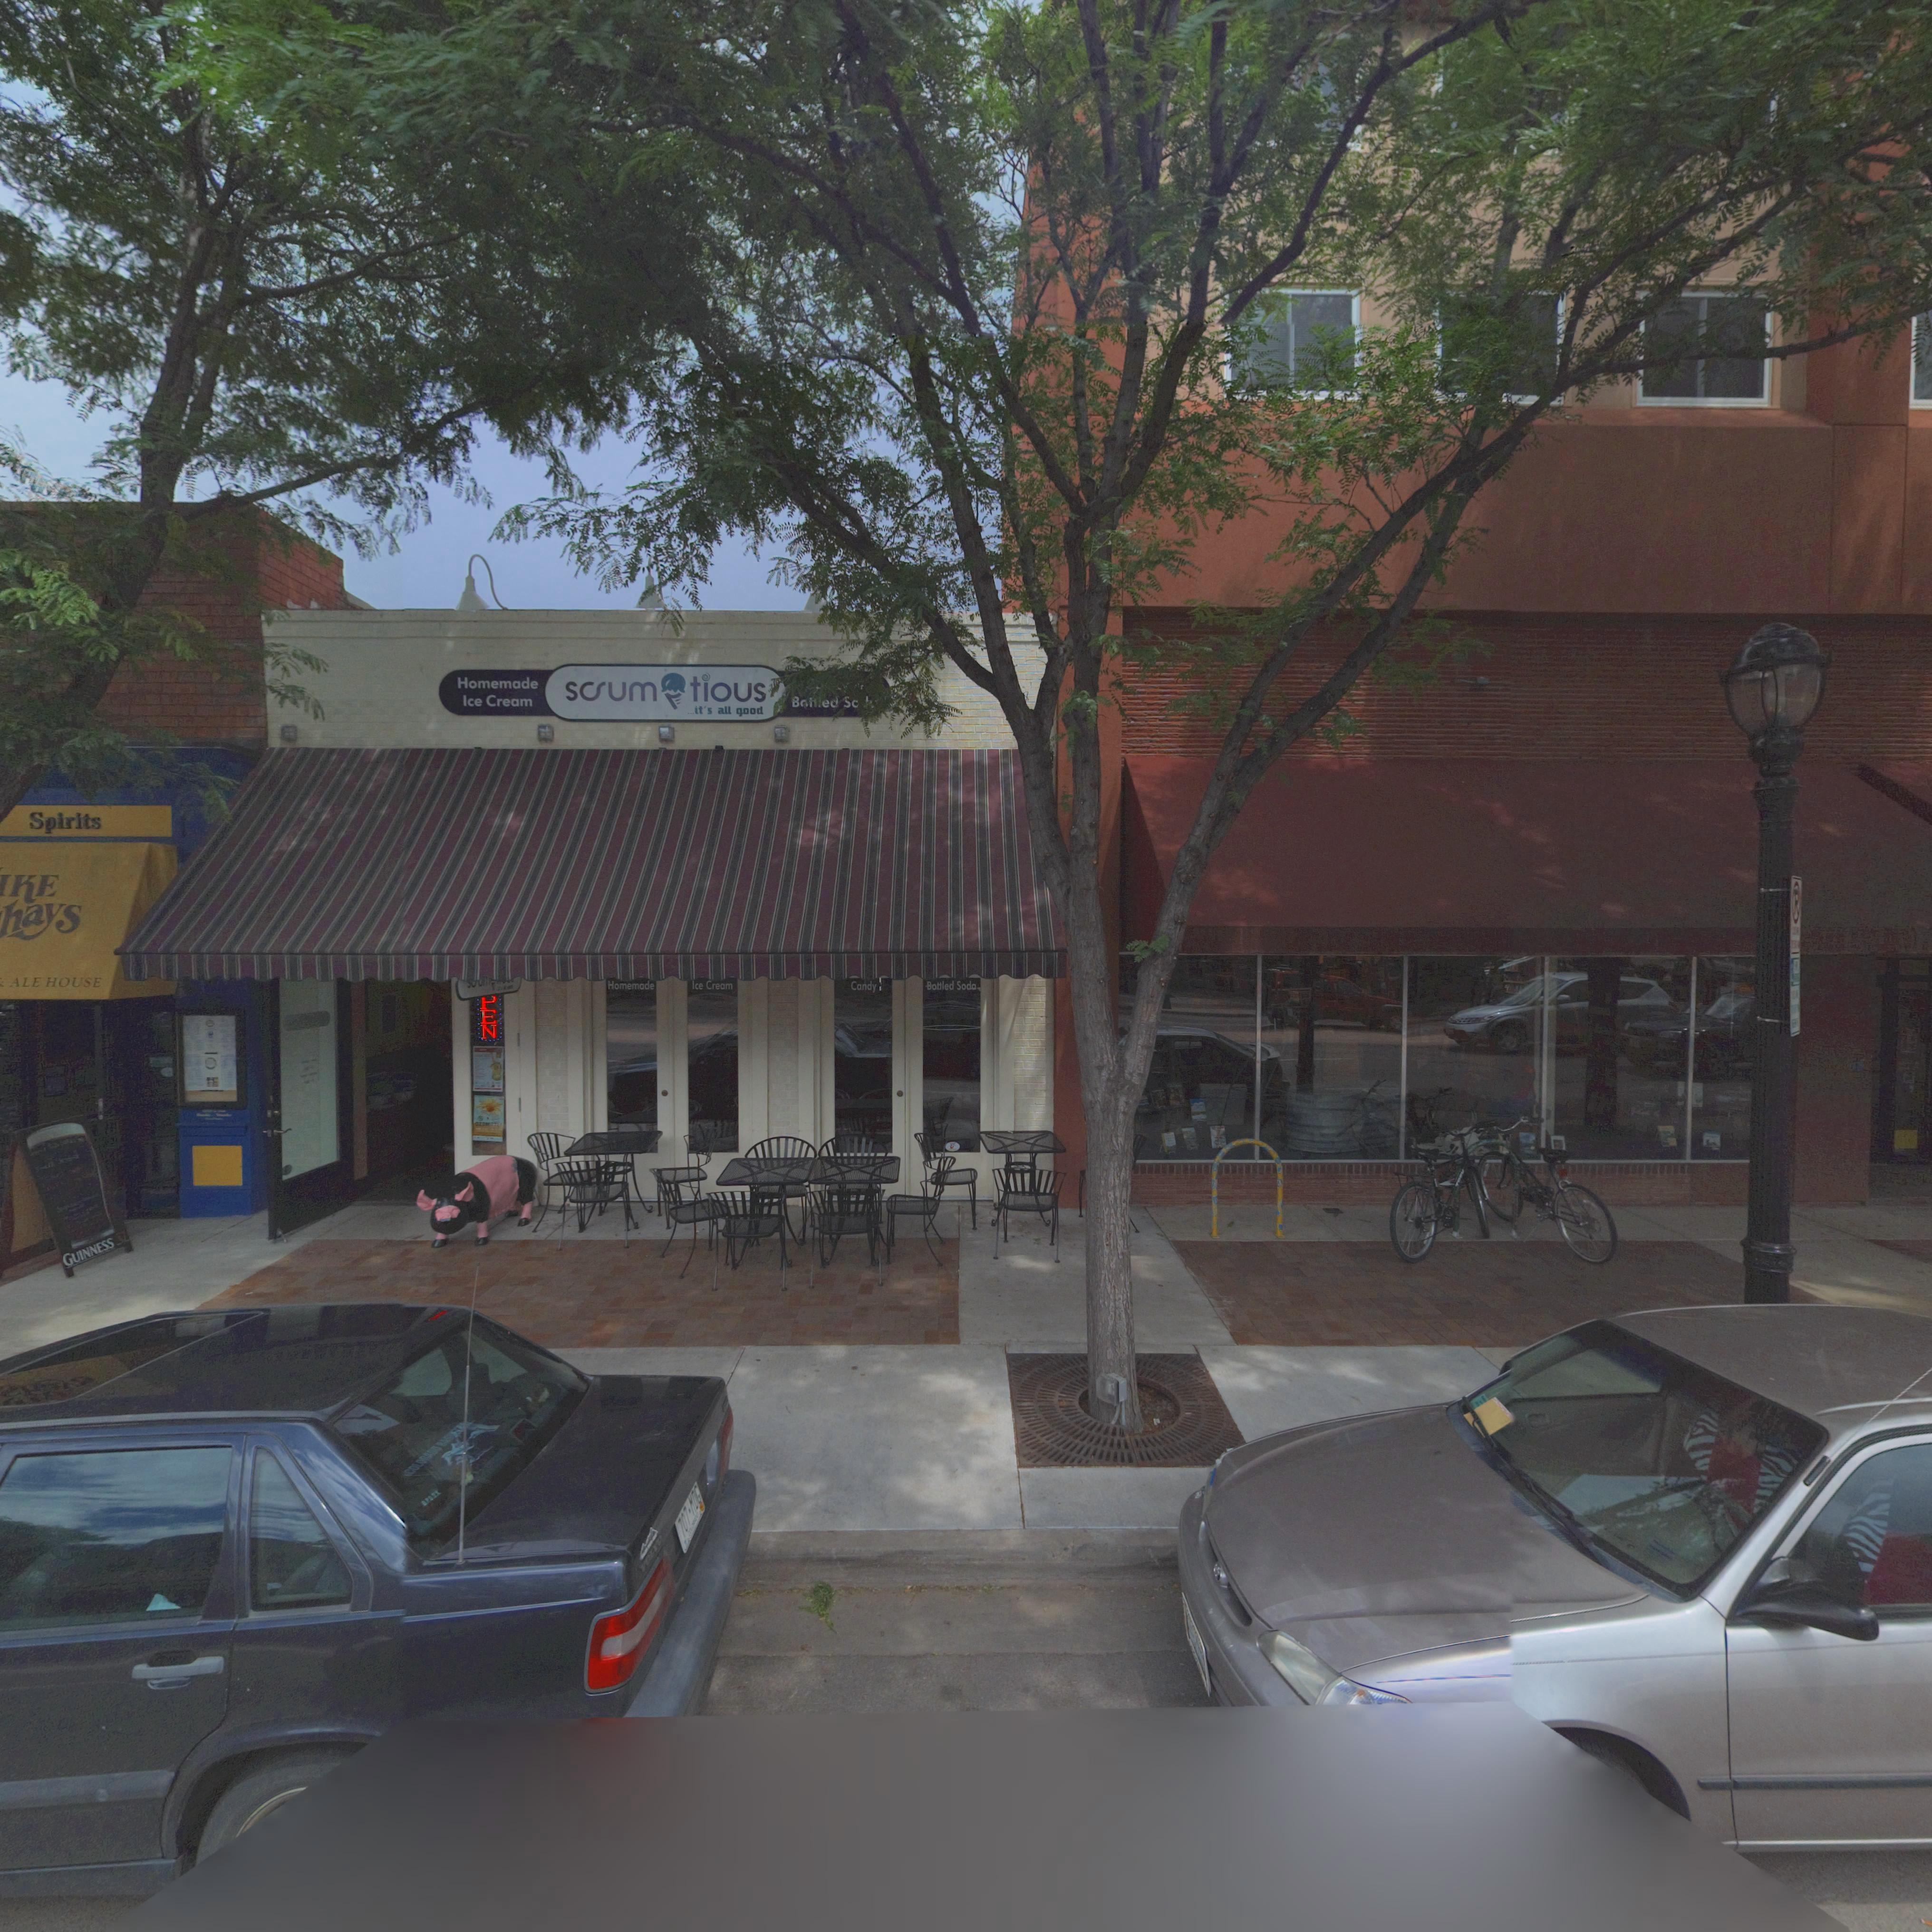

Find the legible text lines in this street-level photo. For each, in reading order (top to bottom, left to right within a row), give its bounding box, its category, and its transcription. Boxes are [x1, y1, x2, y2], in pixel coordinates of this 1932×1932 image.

[563, 672, 768, 711] BusinessName: s*um*tious
[7, 873, 60, 898] BusinessName: KE
[0, 898, 84, 943] BusinessName: hays